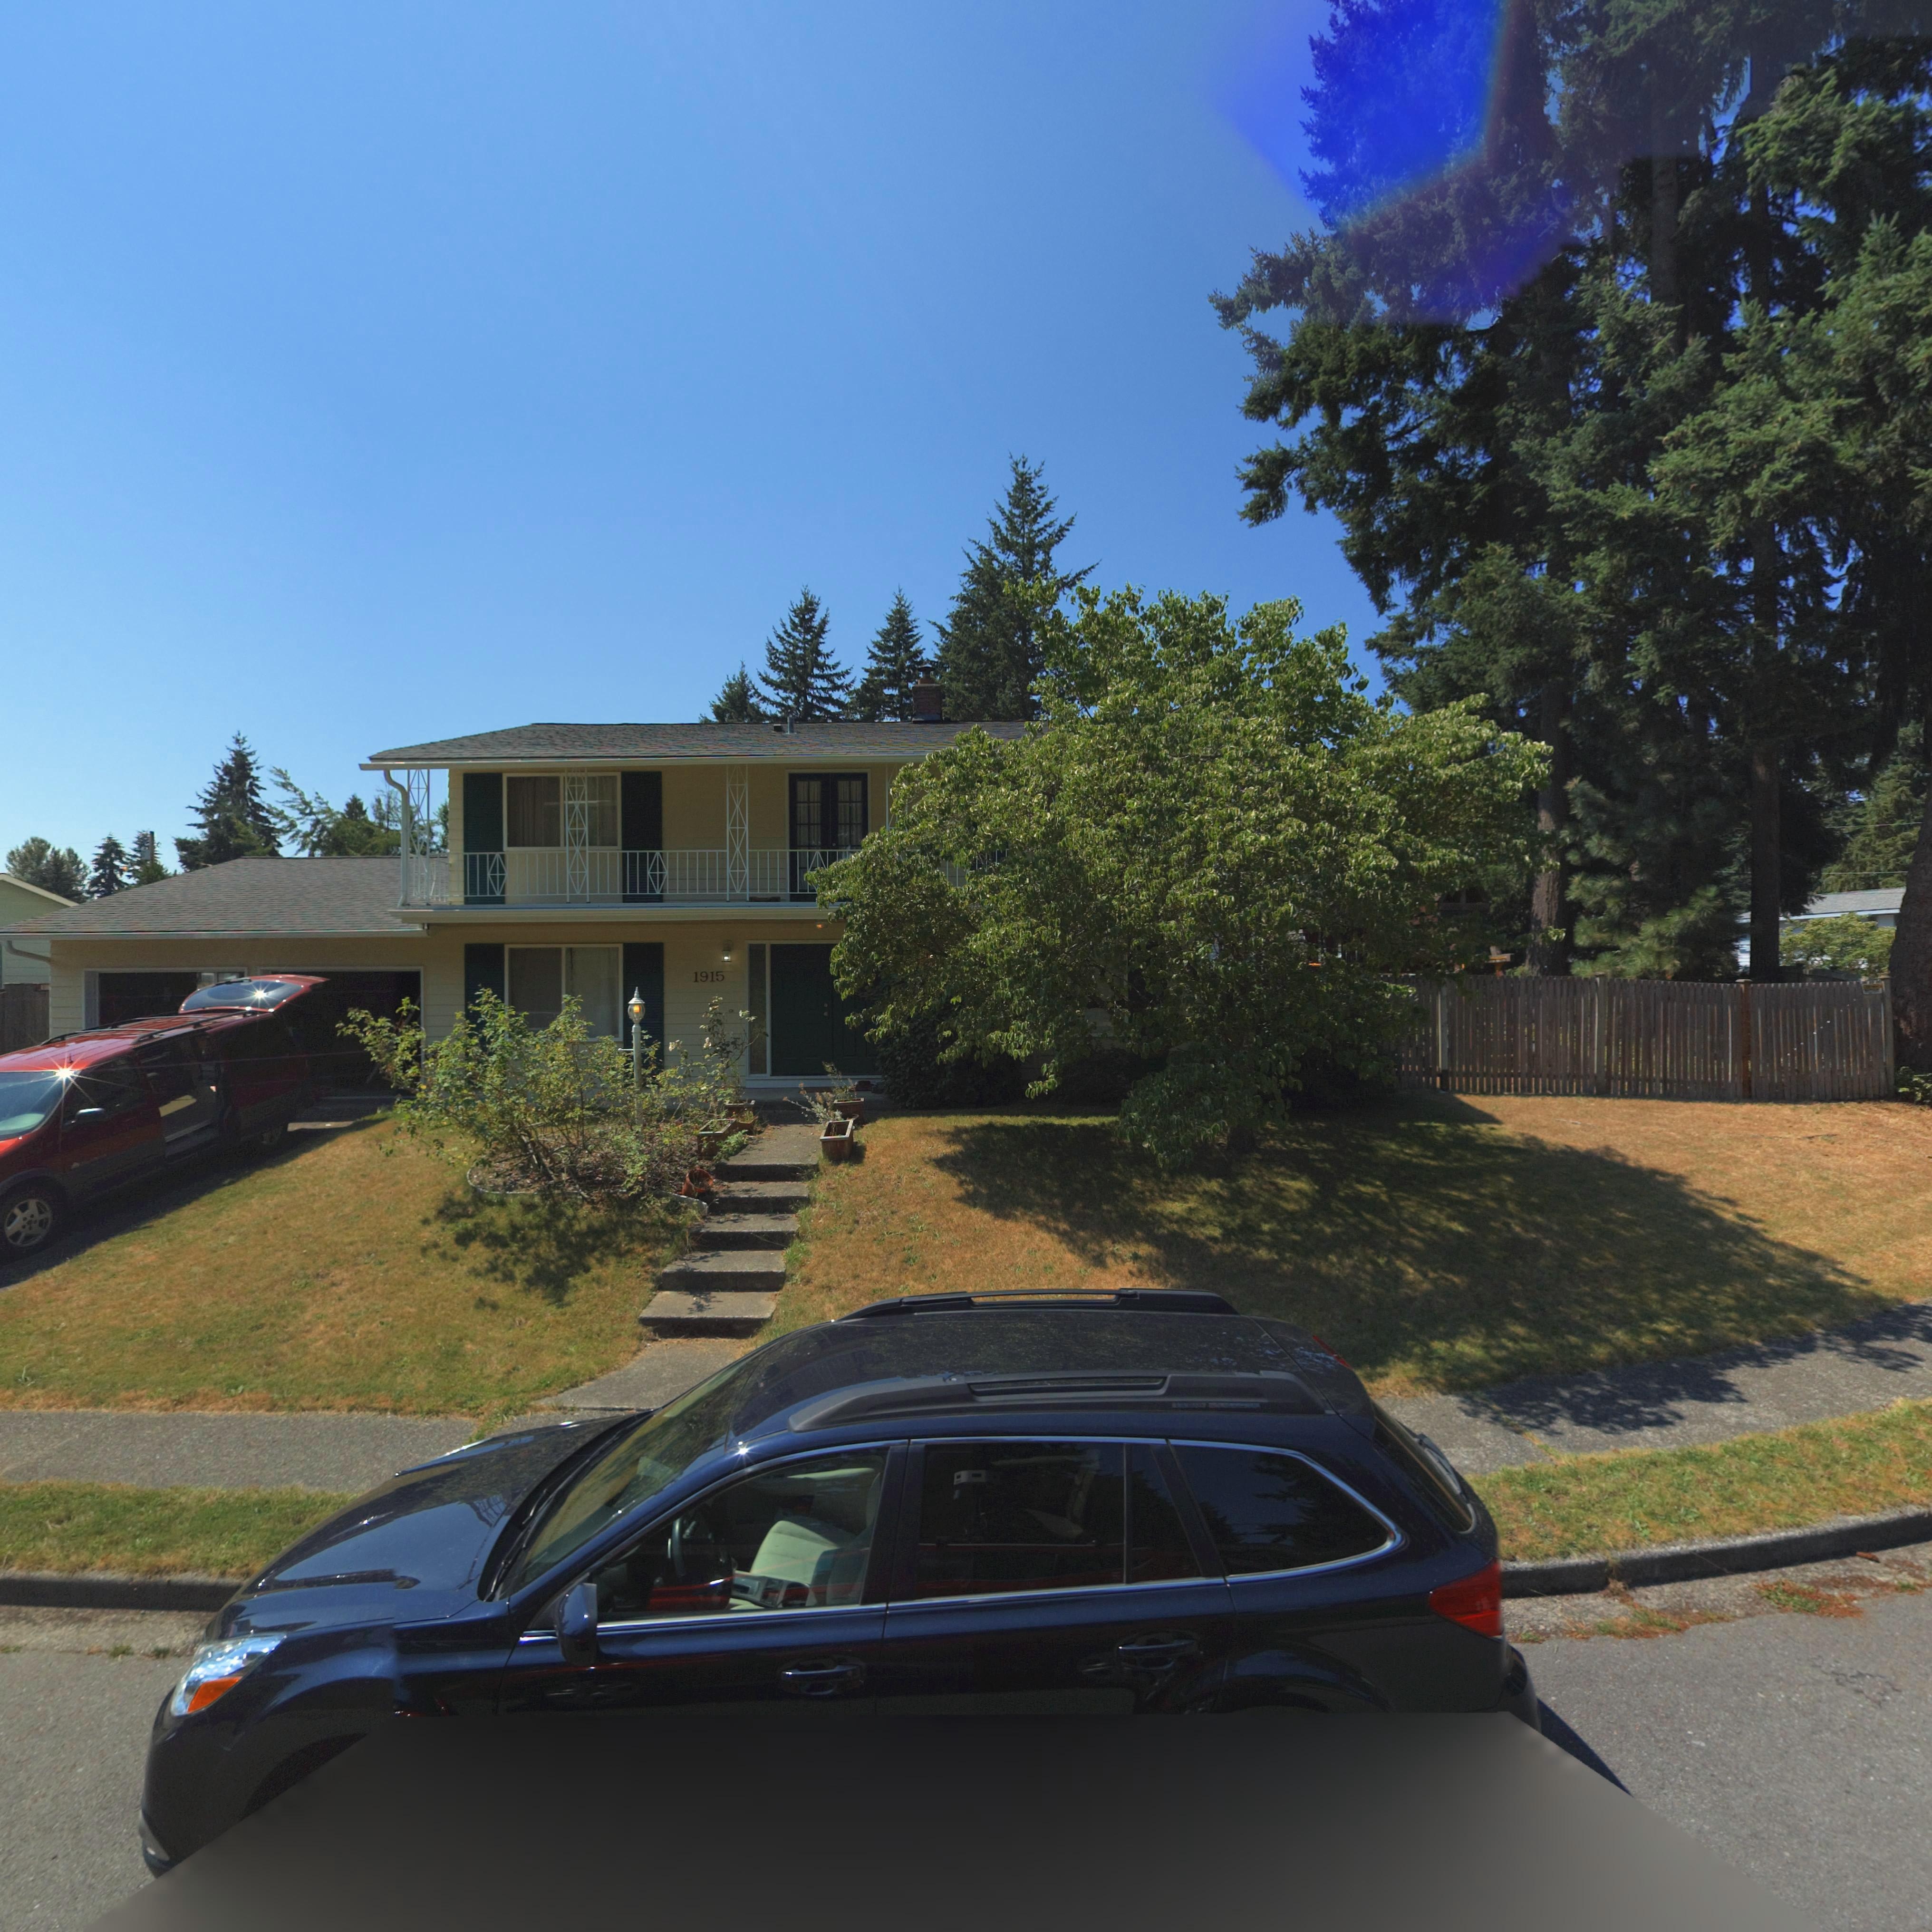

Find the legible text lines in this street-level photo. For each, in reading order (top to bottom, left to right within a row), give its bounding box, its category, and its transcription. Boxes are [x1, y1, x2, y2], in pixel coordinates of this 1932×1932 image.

[692, 970, 724, 983] StreetNumber: 1915